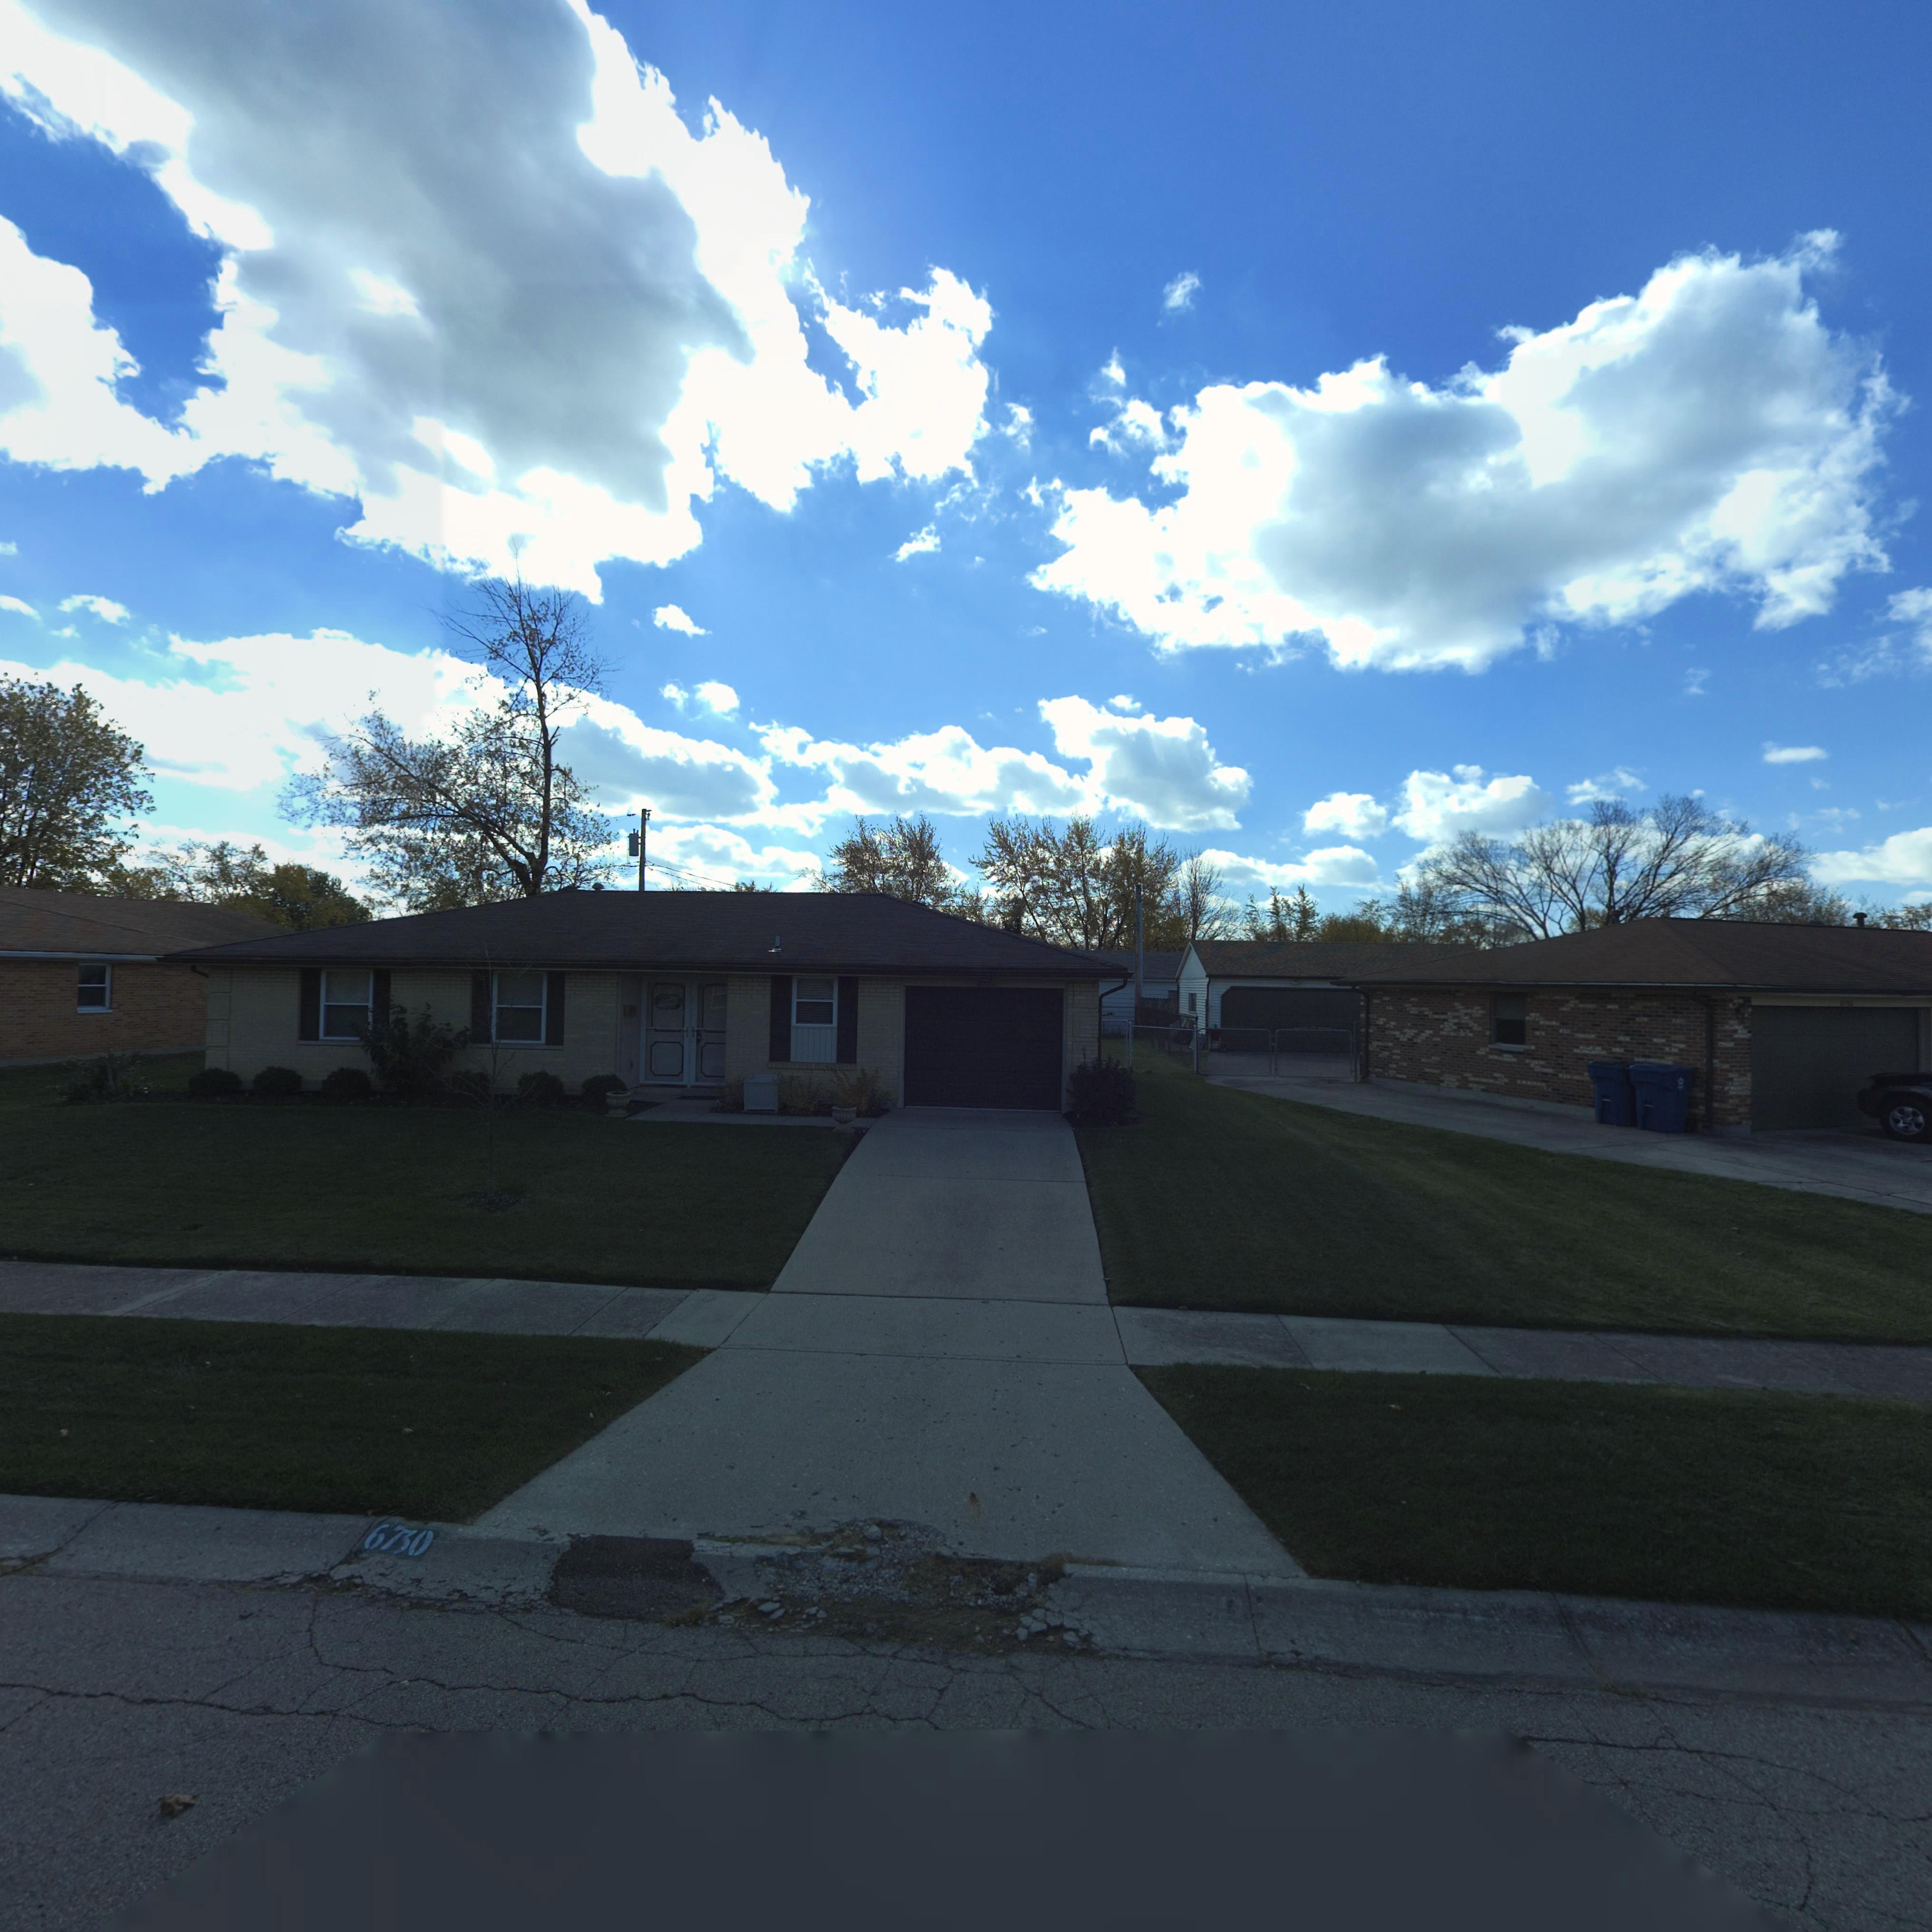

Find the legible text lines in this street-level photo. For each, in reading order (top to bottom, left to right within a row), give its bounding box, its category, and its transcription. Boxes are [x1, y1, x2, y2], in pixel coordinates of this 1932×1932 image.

[977, 980, 997, 987] StreetNumber: 67*0
[1839, 1000, 1855, 1007] StreetNumber: 6***
[363, 1523, 435, 1557] StreetNumber: 6730